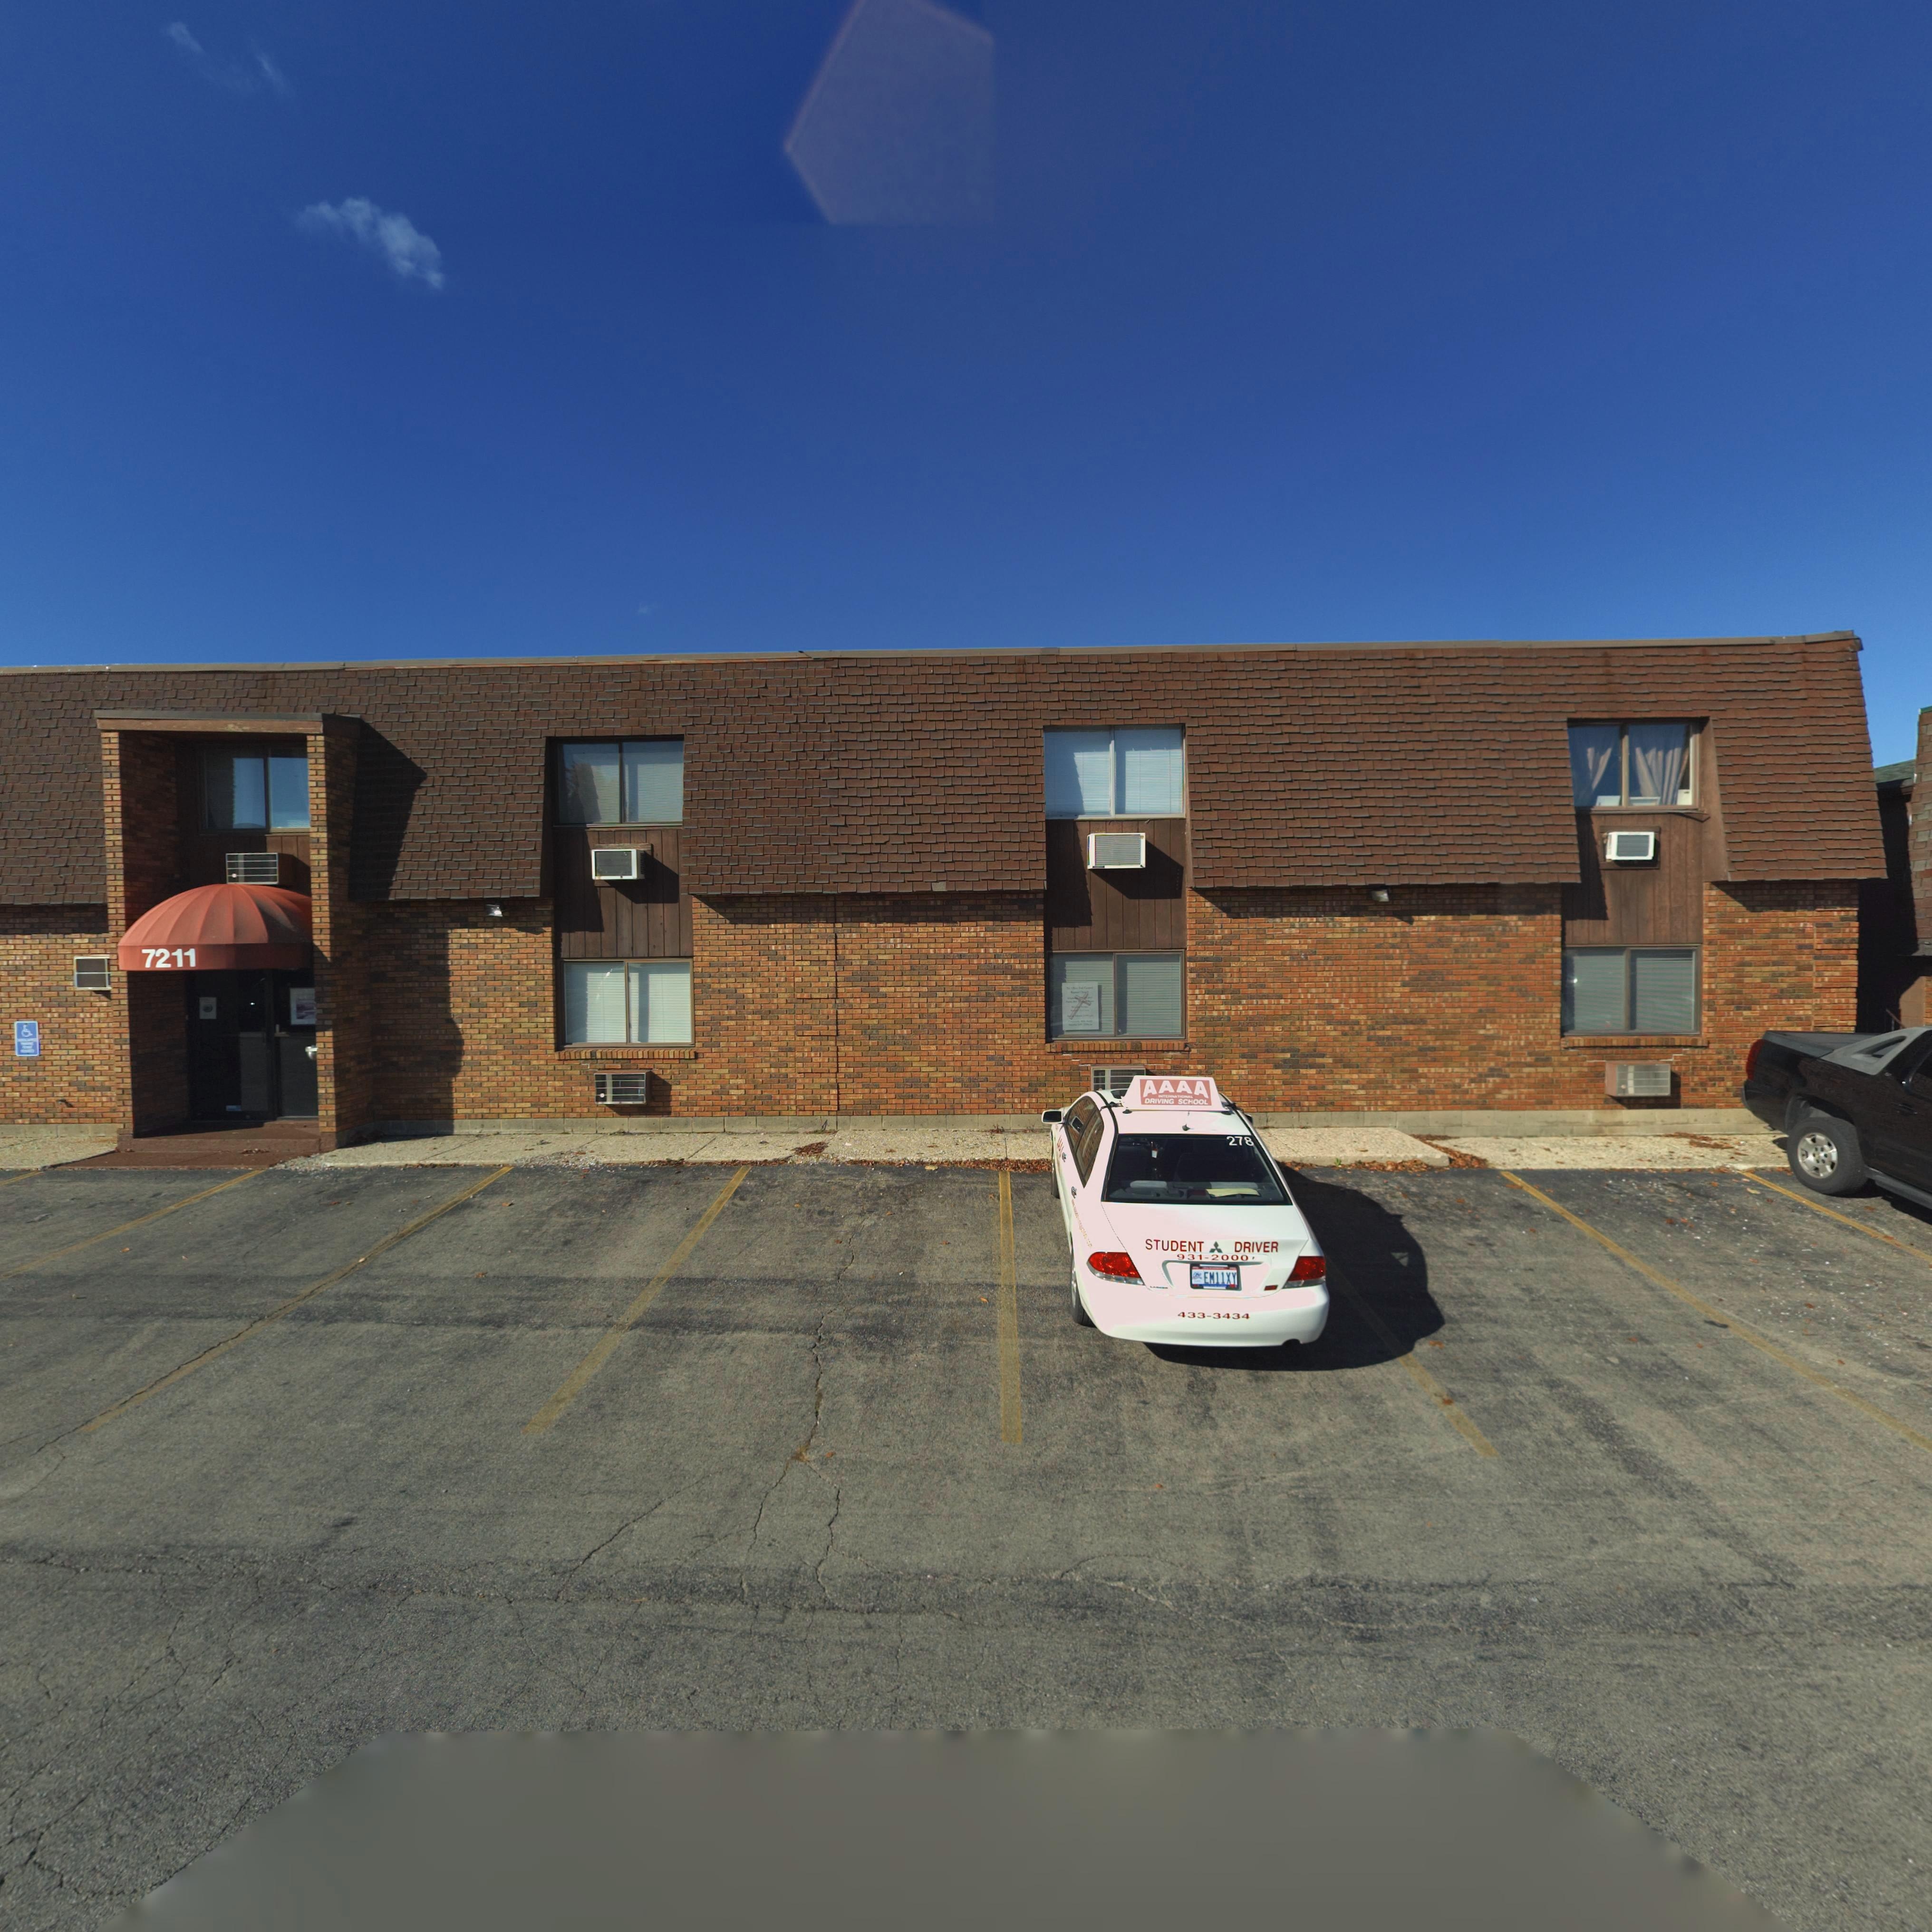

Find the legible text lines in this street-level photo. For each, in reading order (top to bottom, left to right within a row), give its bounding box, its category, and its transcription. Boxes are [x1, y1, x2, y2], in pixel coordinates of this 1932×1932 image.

[141, 948, 196, 968] StreetNumber: 7211